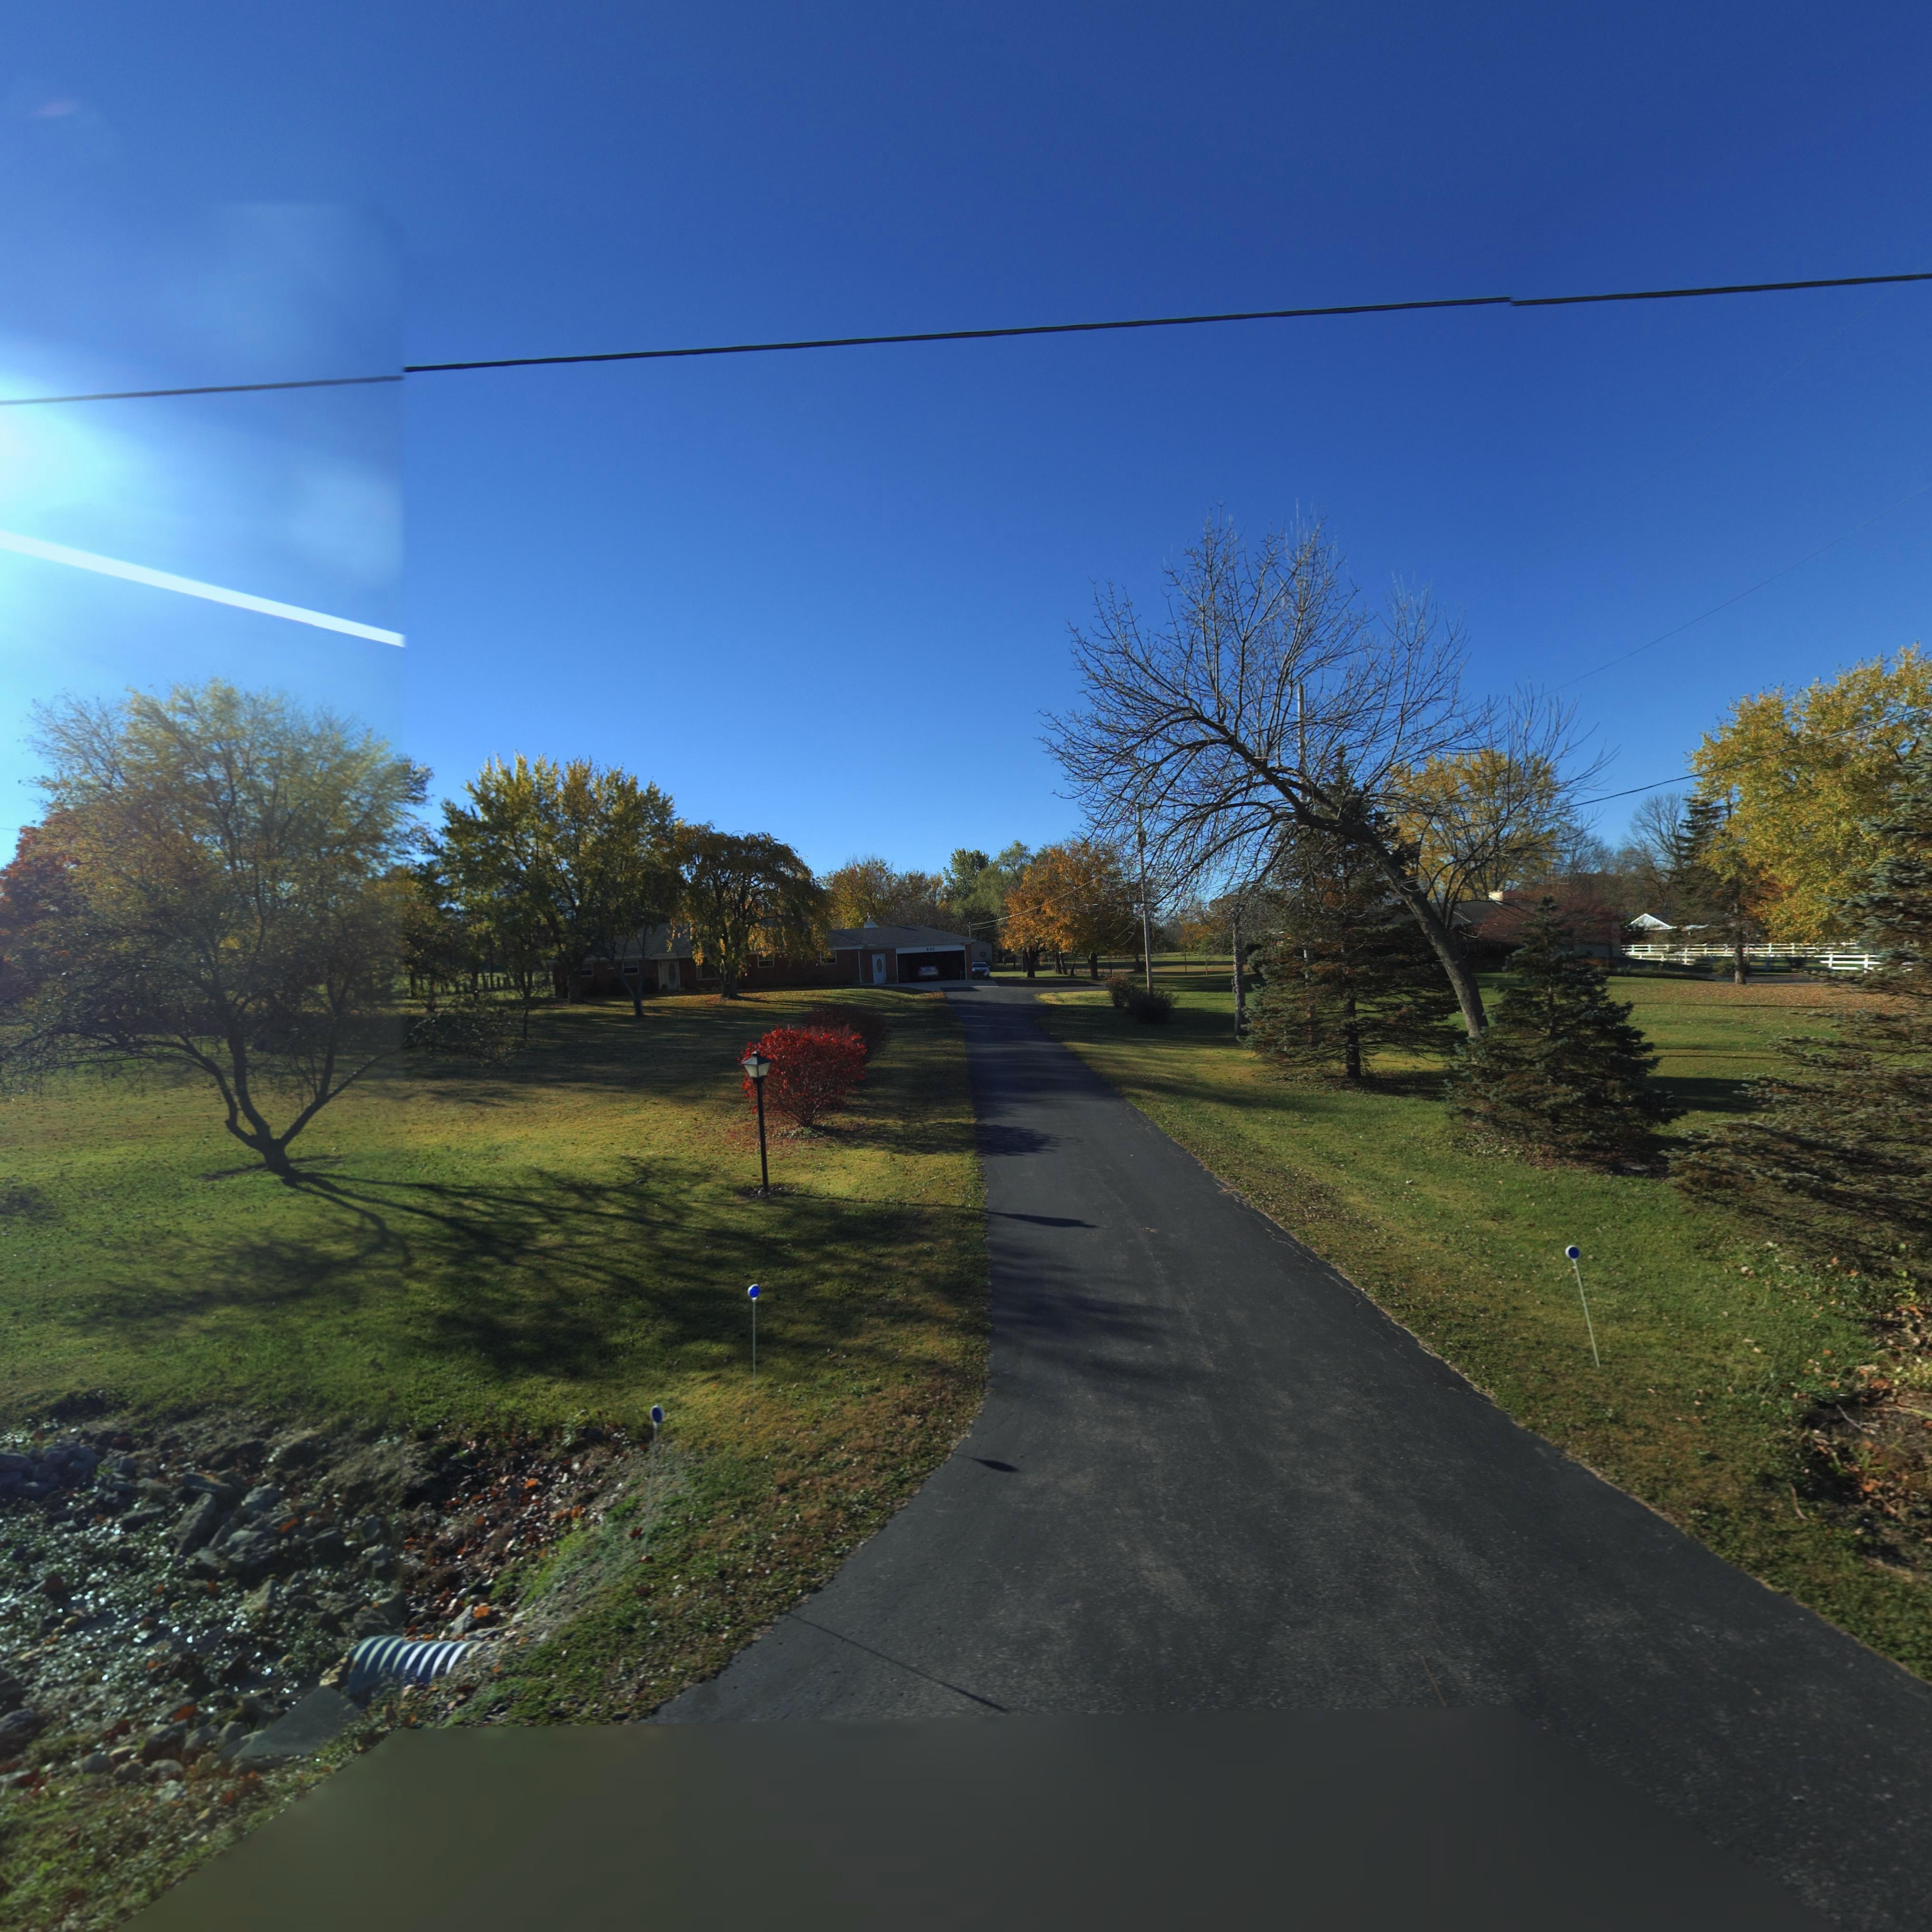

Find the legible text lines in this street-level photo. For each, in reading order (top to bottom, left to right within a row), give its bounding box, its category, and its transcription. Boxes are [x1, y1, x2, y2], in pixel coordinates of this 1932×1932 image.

[926, 947, 935, 951] StreetNumber: 330